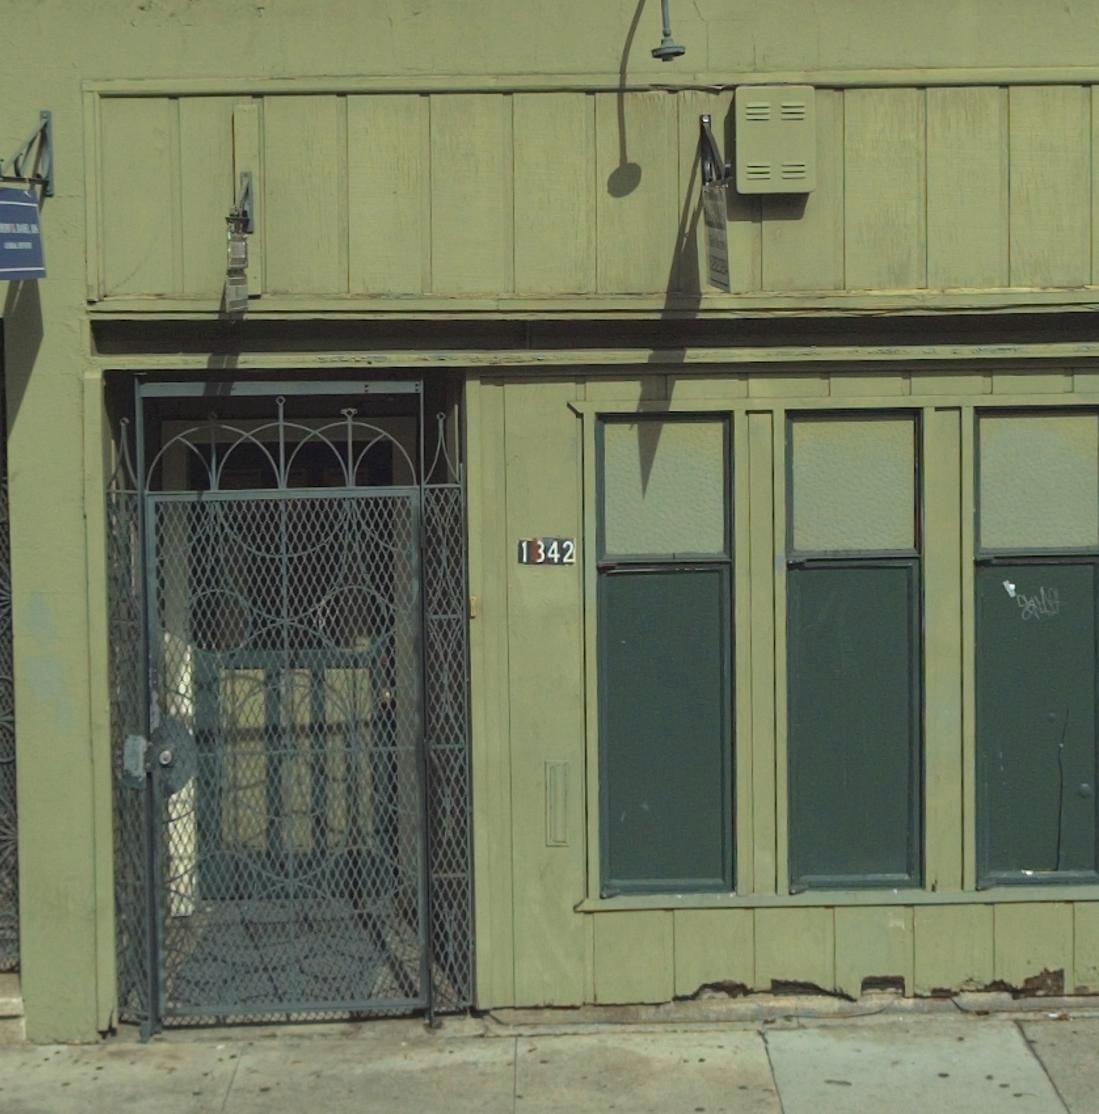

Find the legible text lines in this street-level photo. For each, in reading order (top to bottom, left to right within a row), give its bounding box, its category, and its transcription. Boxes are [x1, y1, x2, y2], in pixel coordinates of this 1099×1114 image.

[519, 538, 576, 565] StreetNumber: 1342